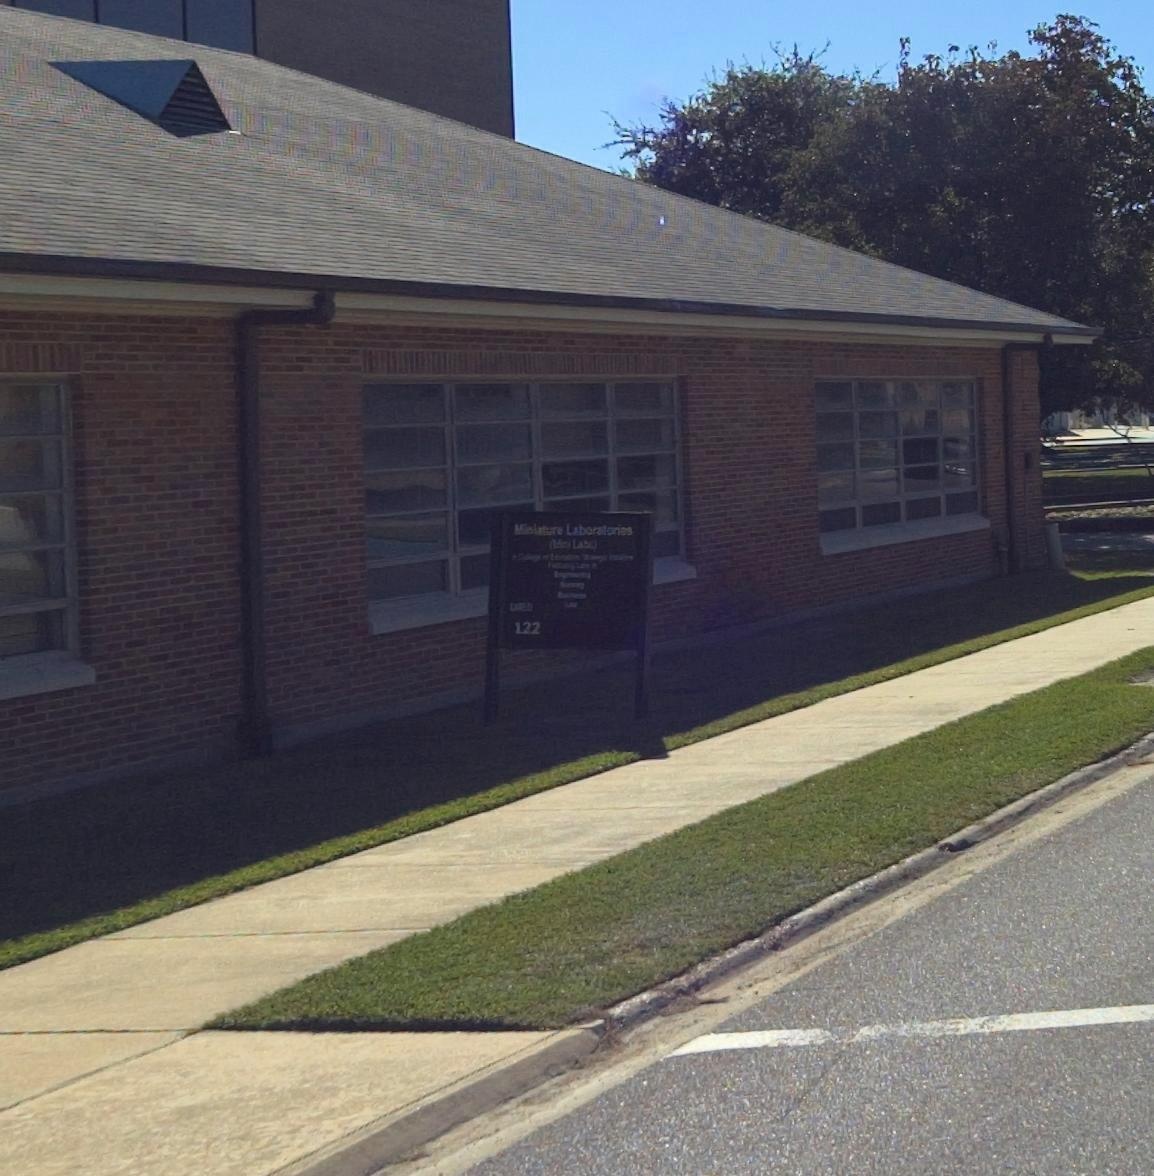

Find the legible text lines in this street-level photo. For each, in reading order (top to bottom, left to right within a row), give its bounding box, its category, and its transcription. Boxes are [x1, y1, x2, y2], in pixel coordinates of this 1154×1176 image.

[513, 522, 635, 538] BusinessName: Miniature Laboratories
[513, 620, 542, 636] StreetNumber: 122